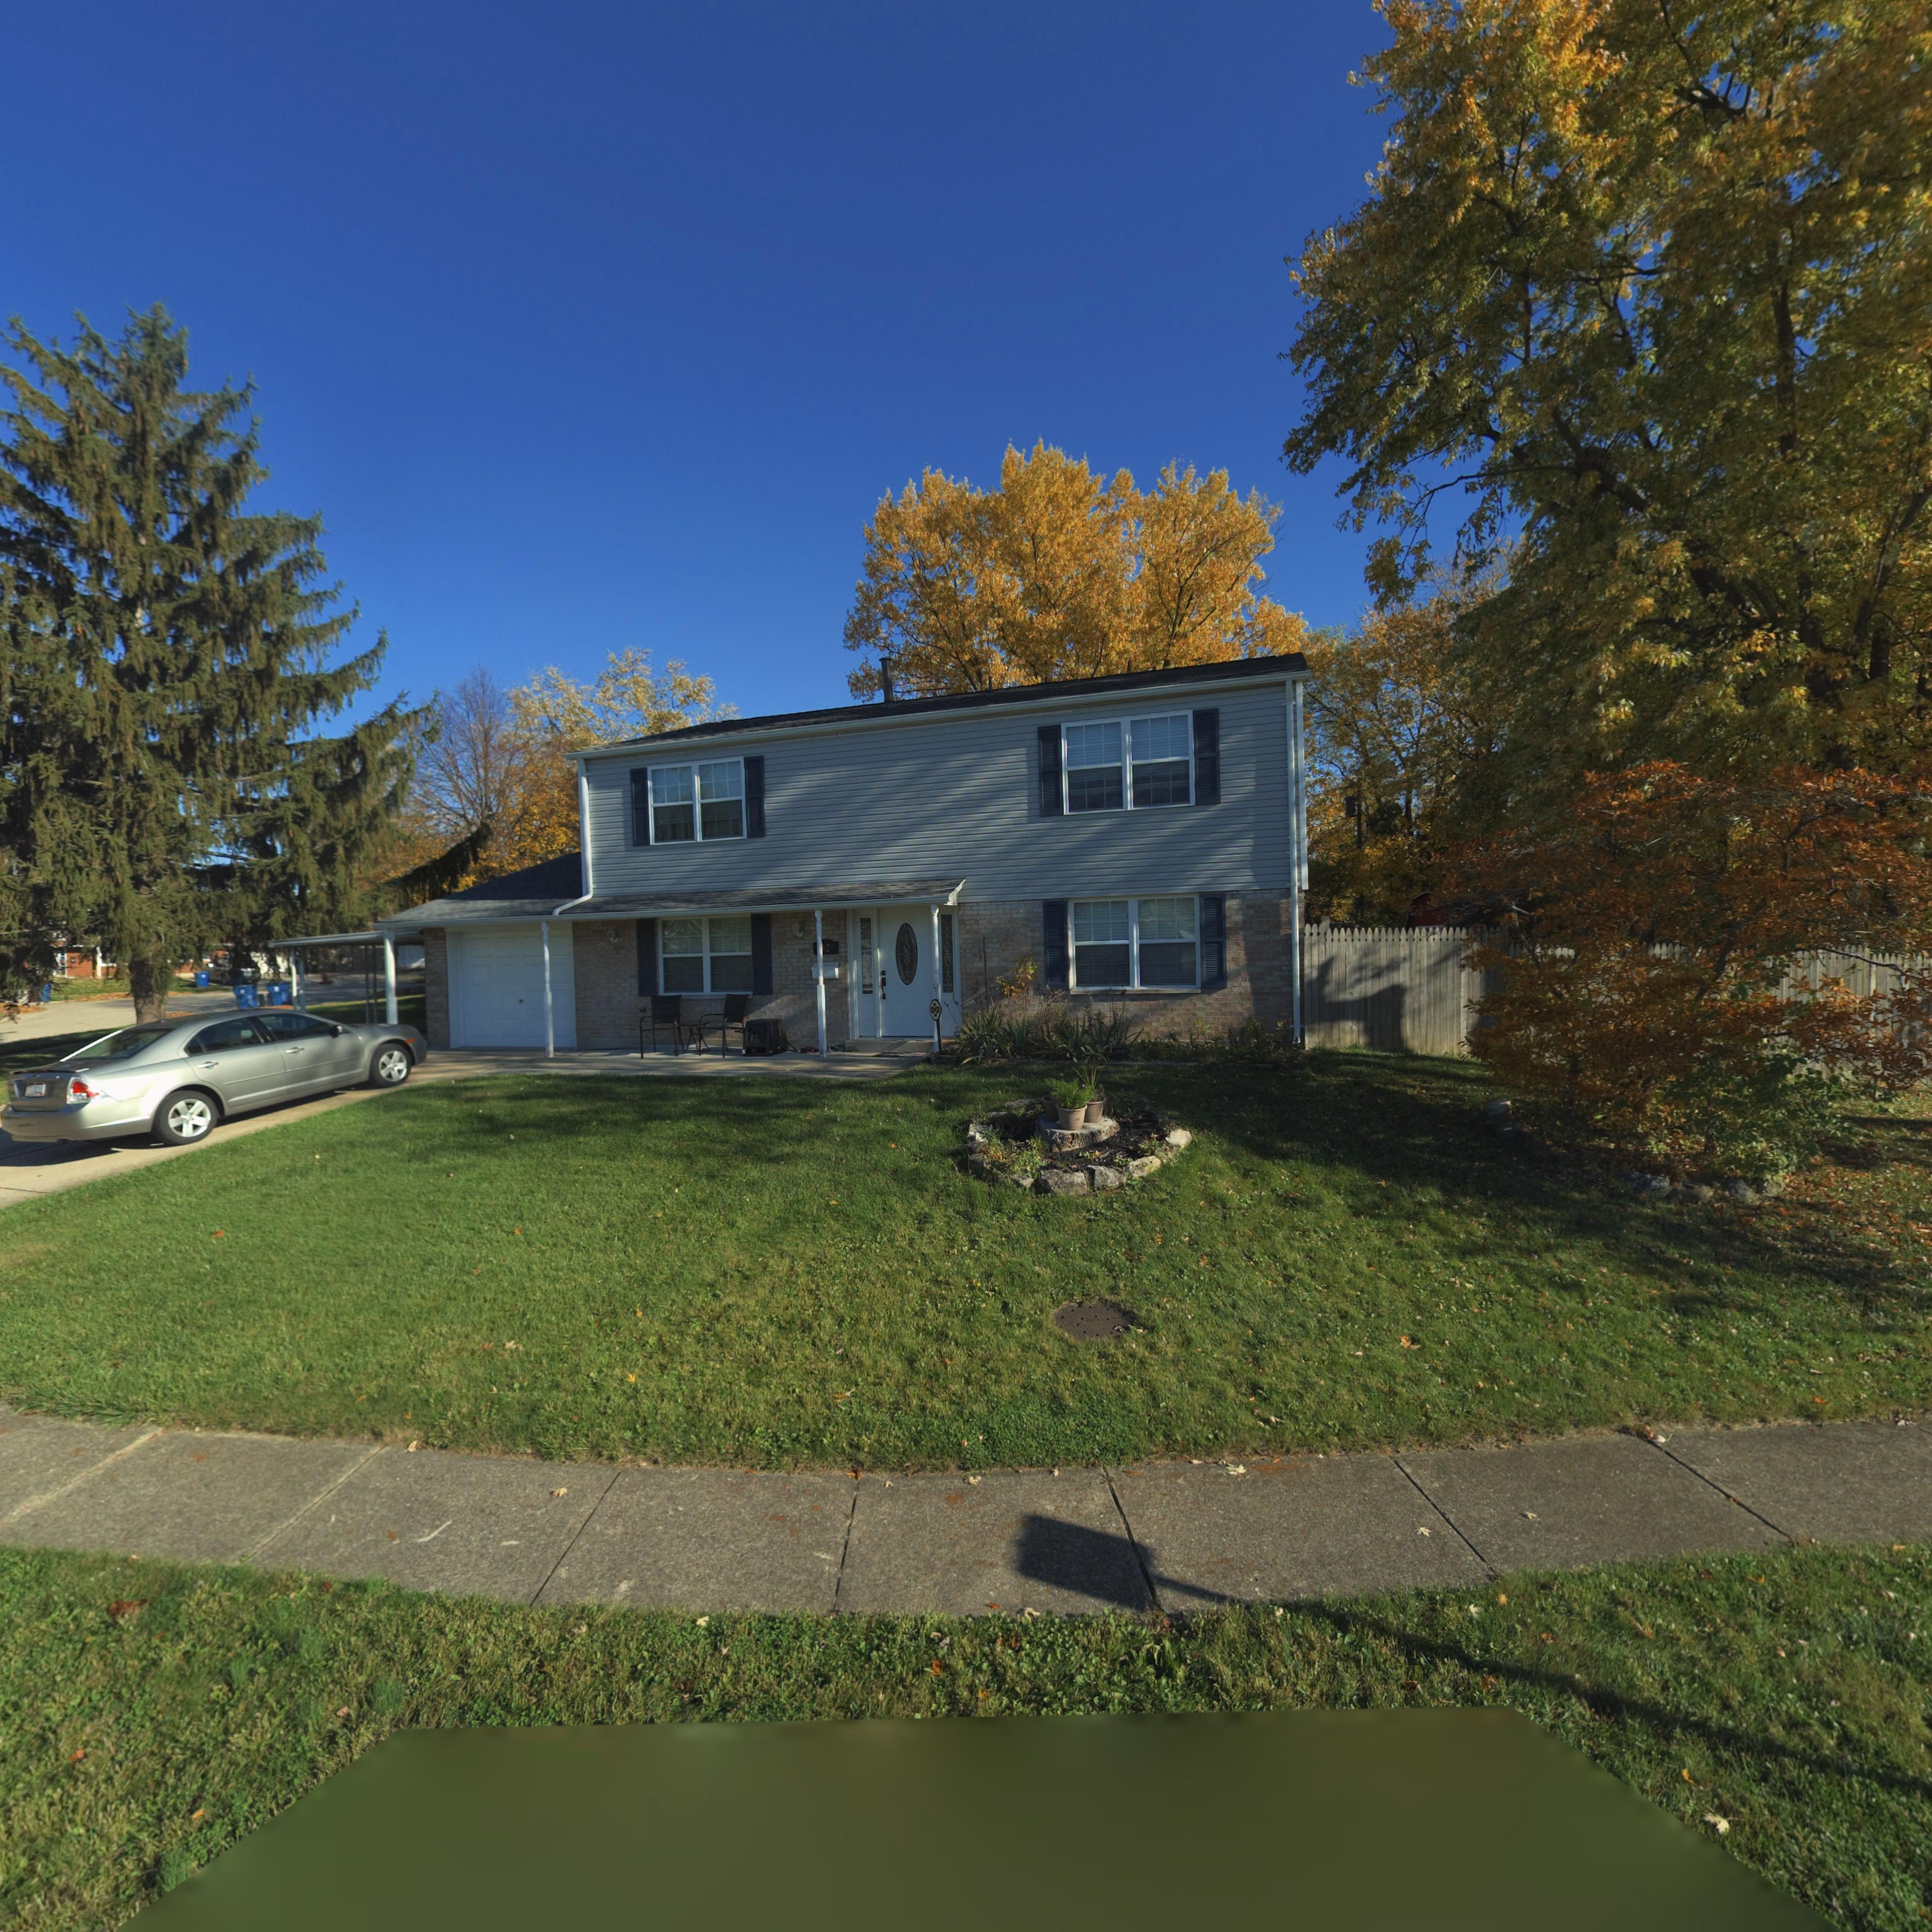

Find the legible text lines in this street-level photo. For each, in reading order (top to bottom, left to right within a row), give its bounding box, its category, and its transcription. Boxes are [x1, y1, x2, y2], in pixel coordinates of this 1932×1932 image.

[824, 943, 836, 953] StreetNumber: 2*